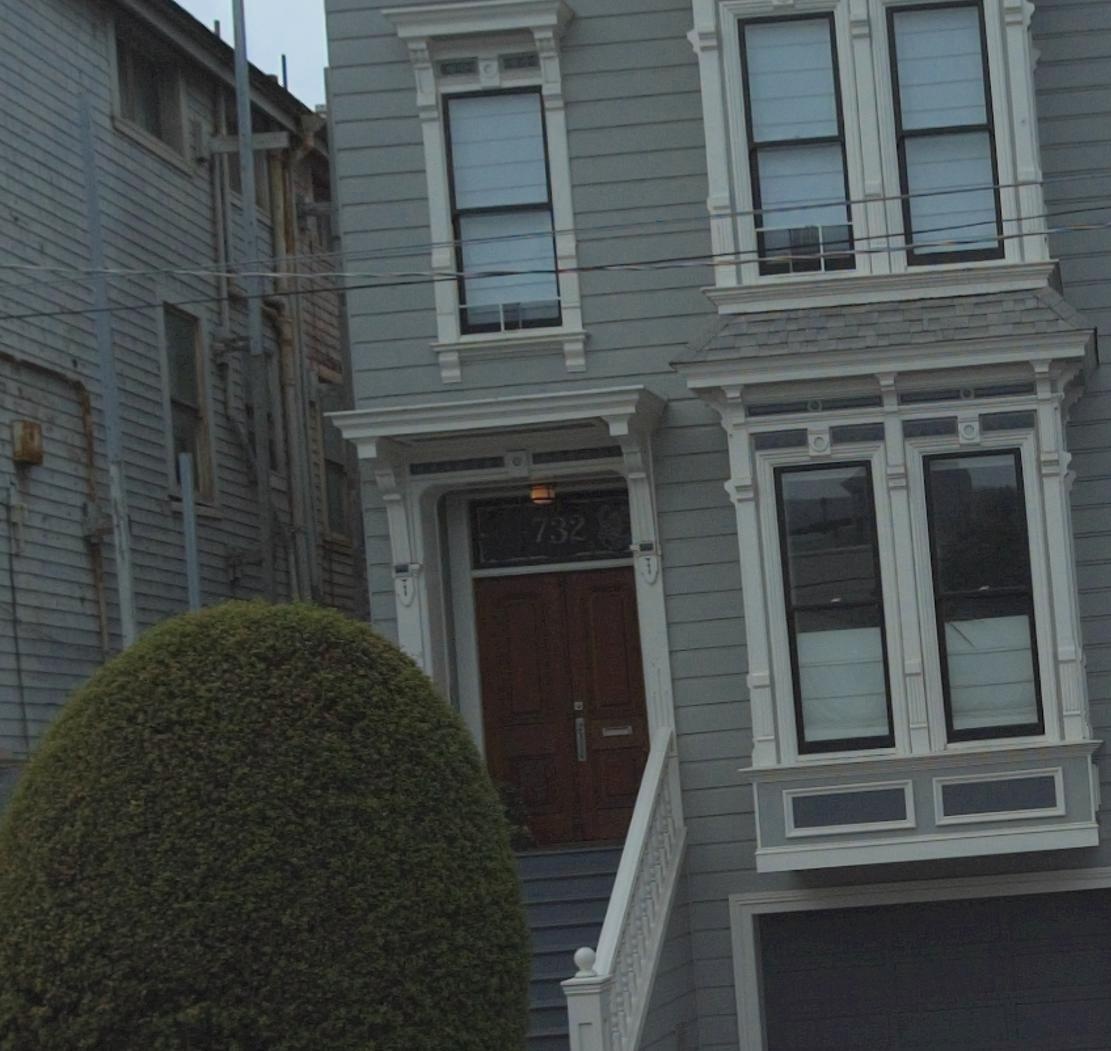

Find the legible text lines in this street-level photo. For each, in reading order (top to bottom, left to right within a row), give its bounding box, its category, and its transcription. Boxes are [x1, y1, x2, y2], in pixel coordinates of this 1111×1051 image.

[530, 512, 589, 545] StreetNumber: 732